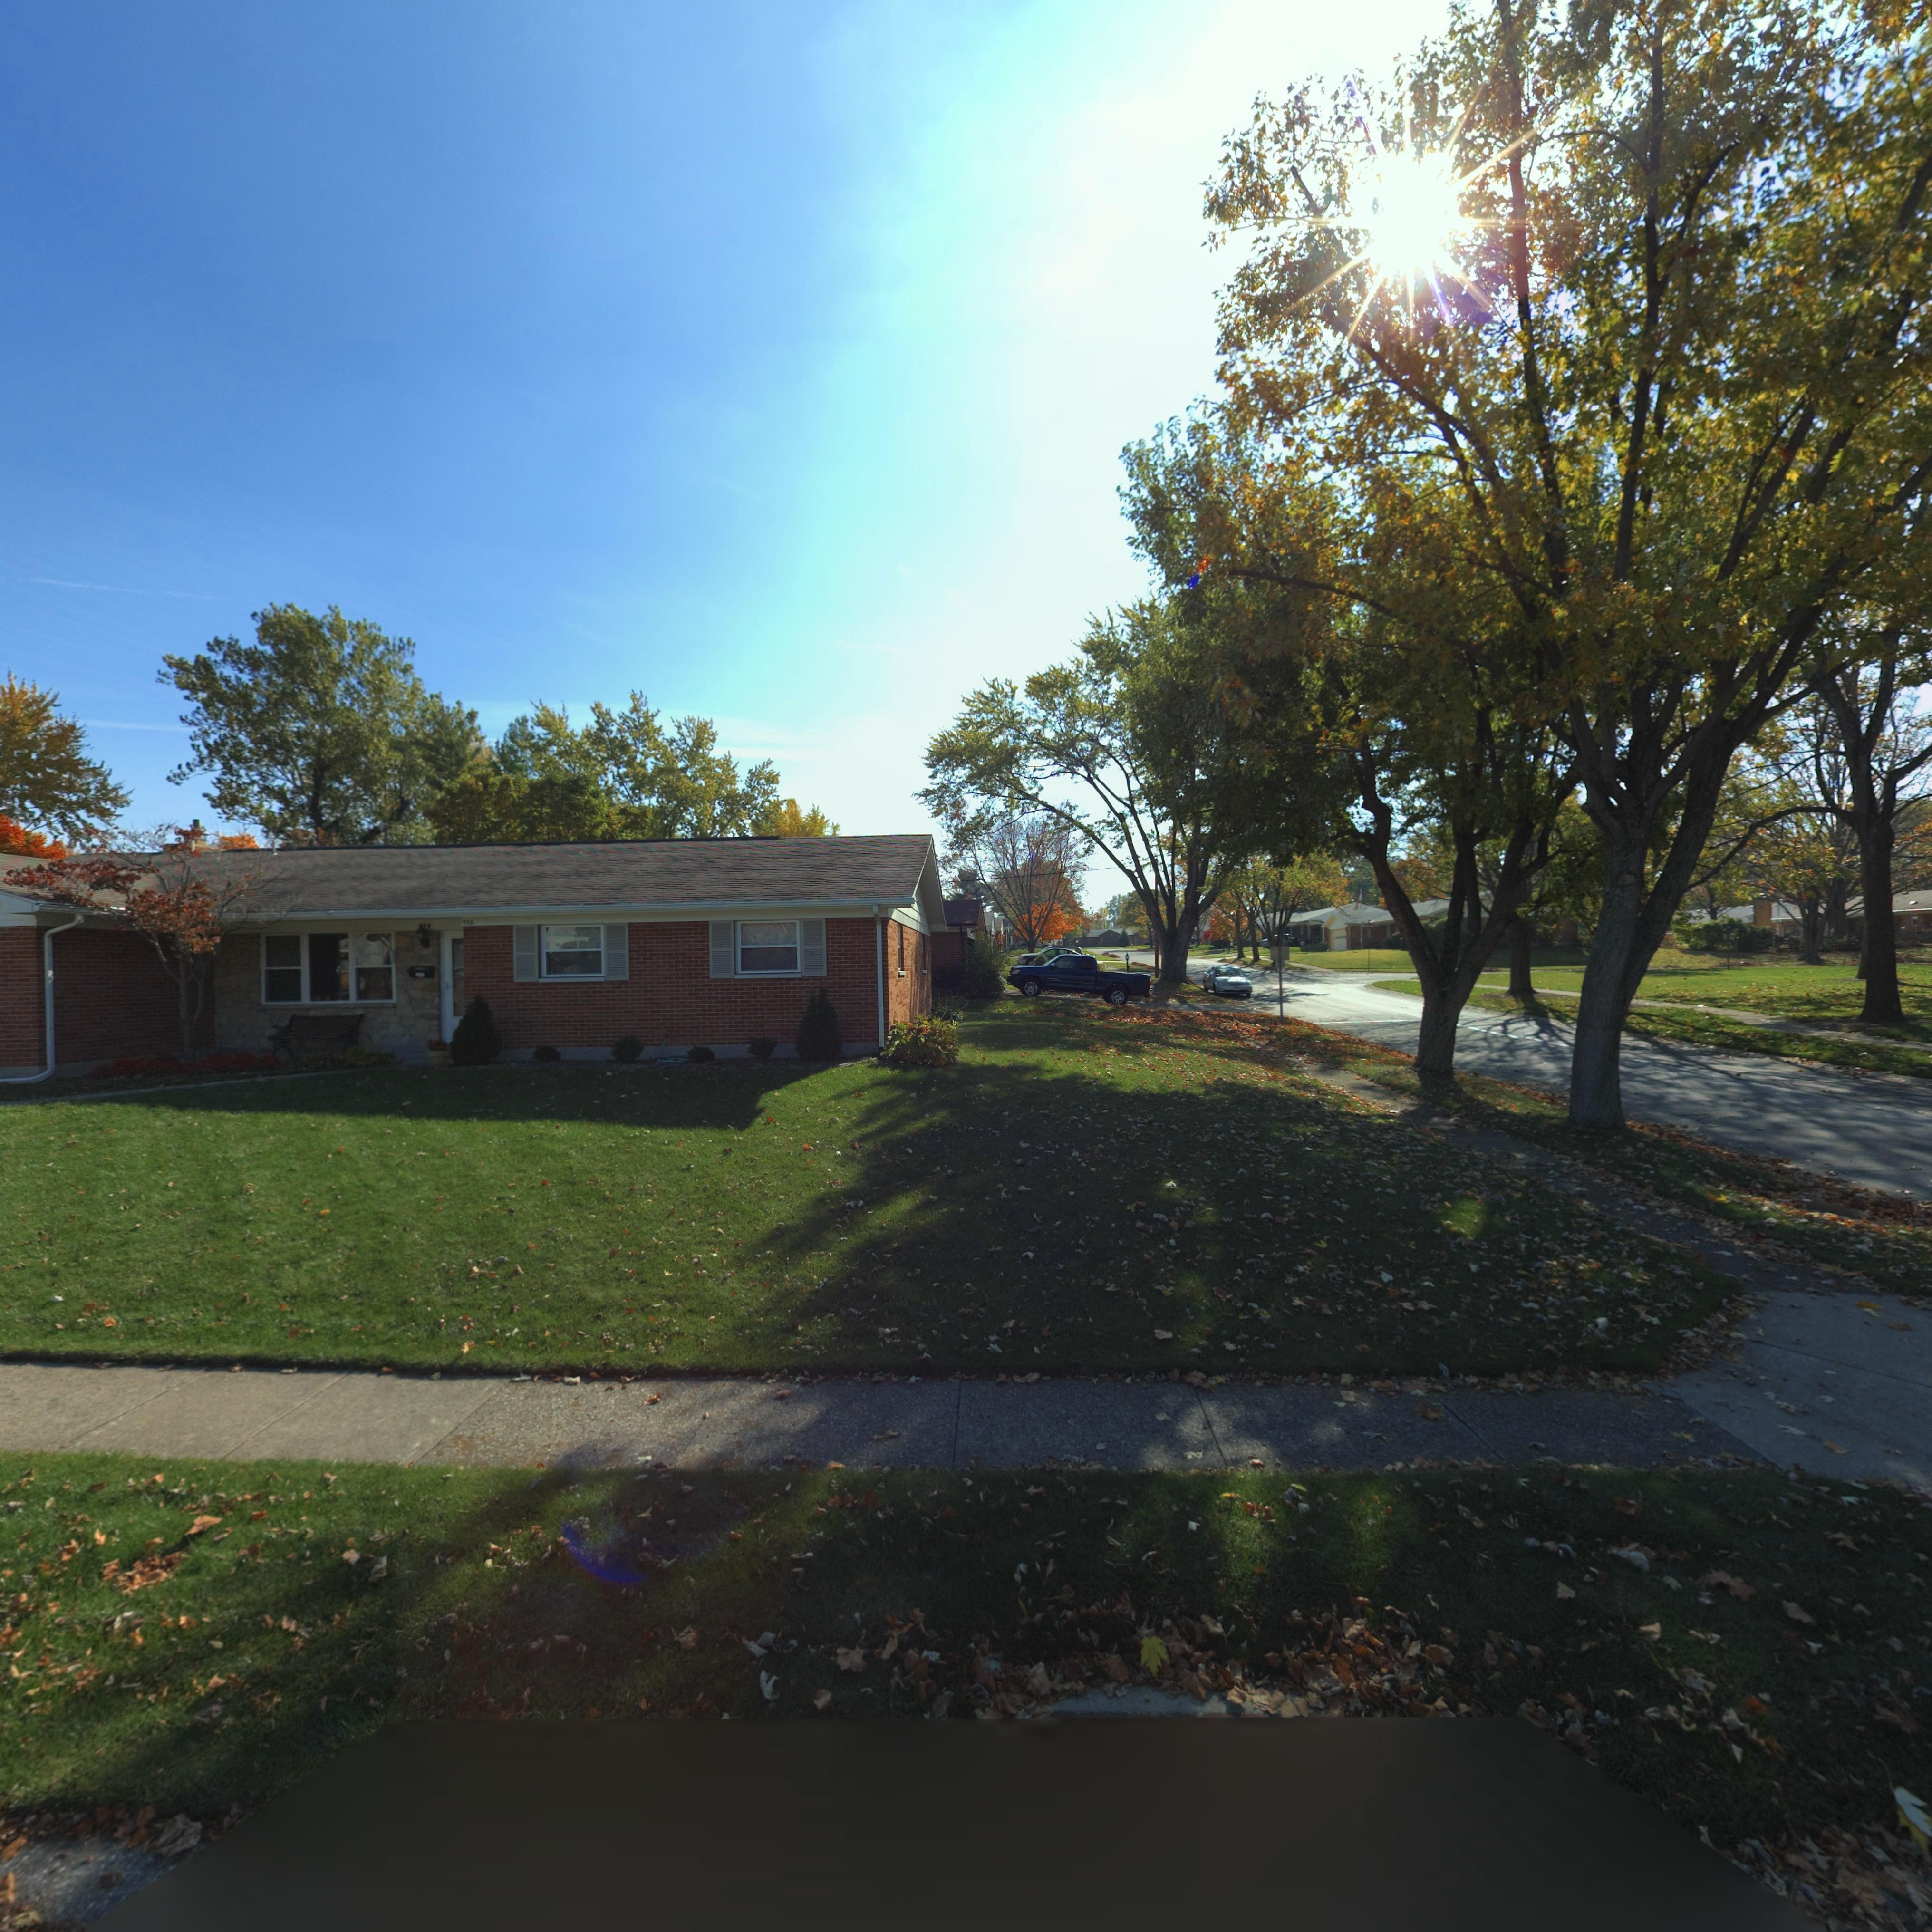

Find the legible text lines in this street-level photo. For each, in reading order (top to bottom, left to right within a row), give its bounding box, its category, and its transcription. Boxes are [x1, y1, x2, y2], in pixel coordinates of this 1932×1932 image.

[462, 918, 475, 926] StreetNumber: 950